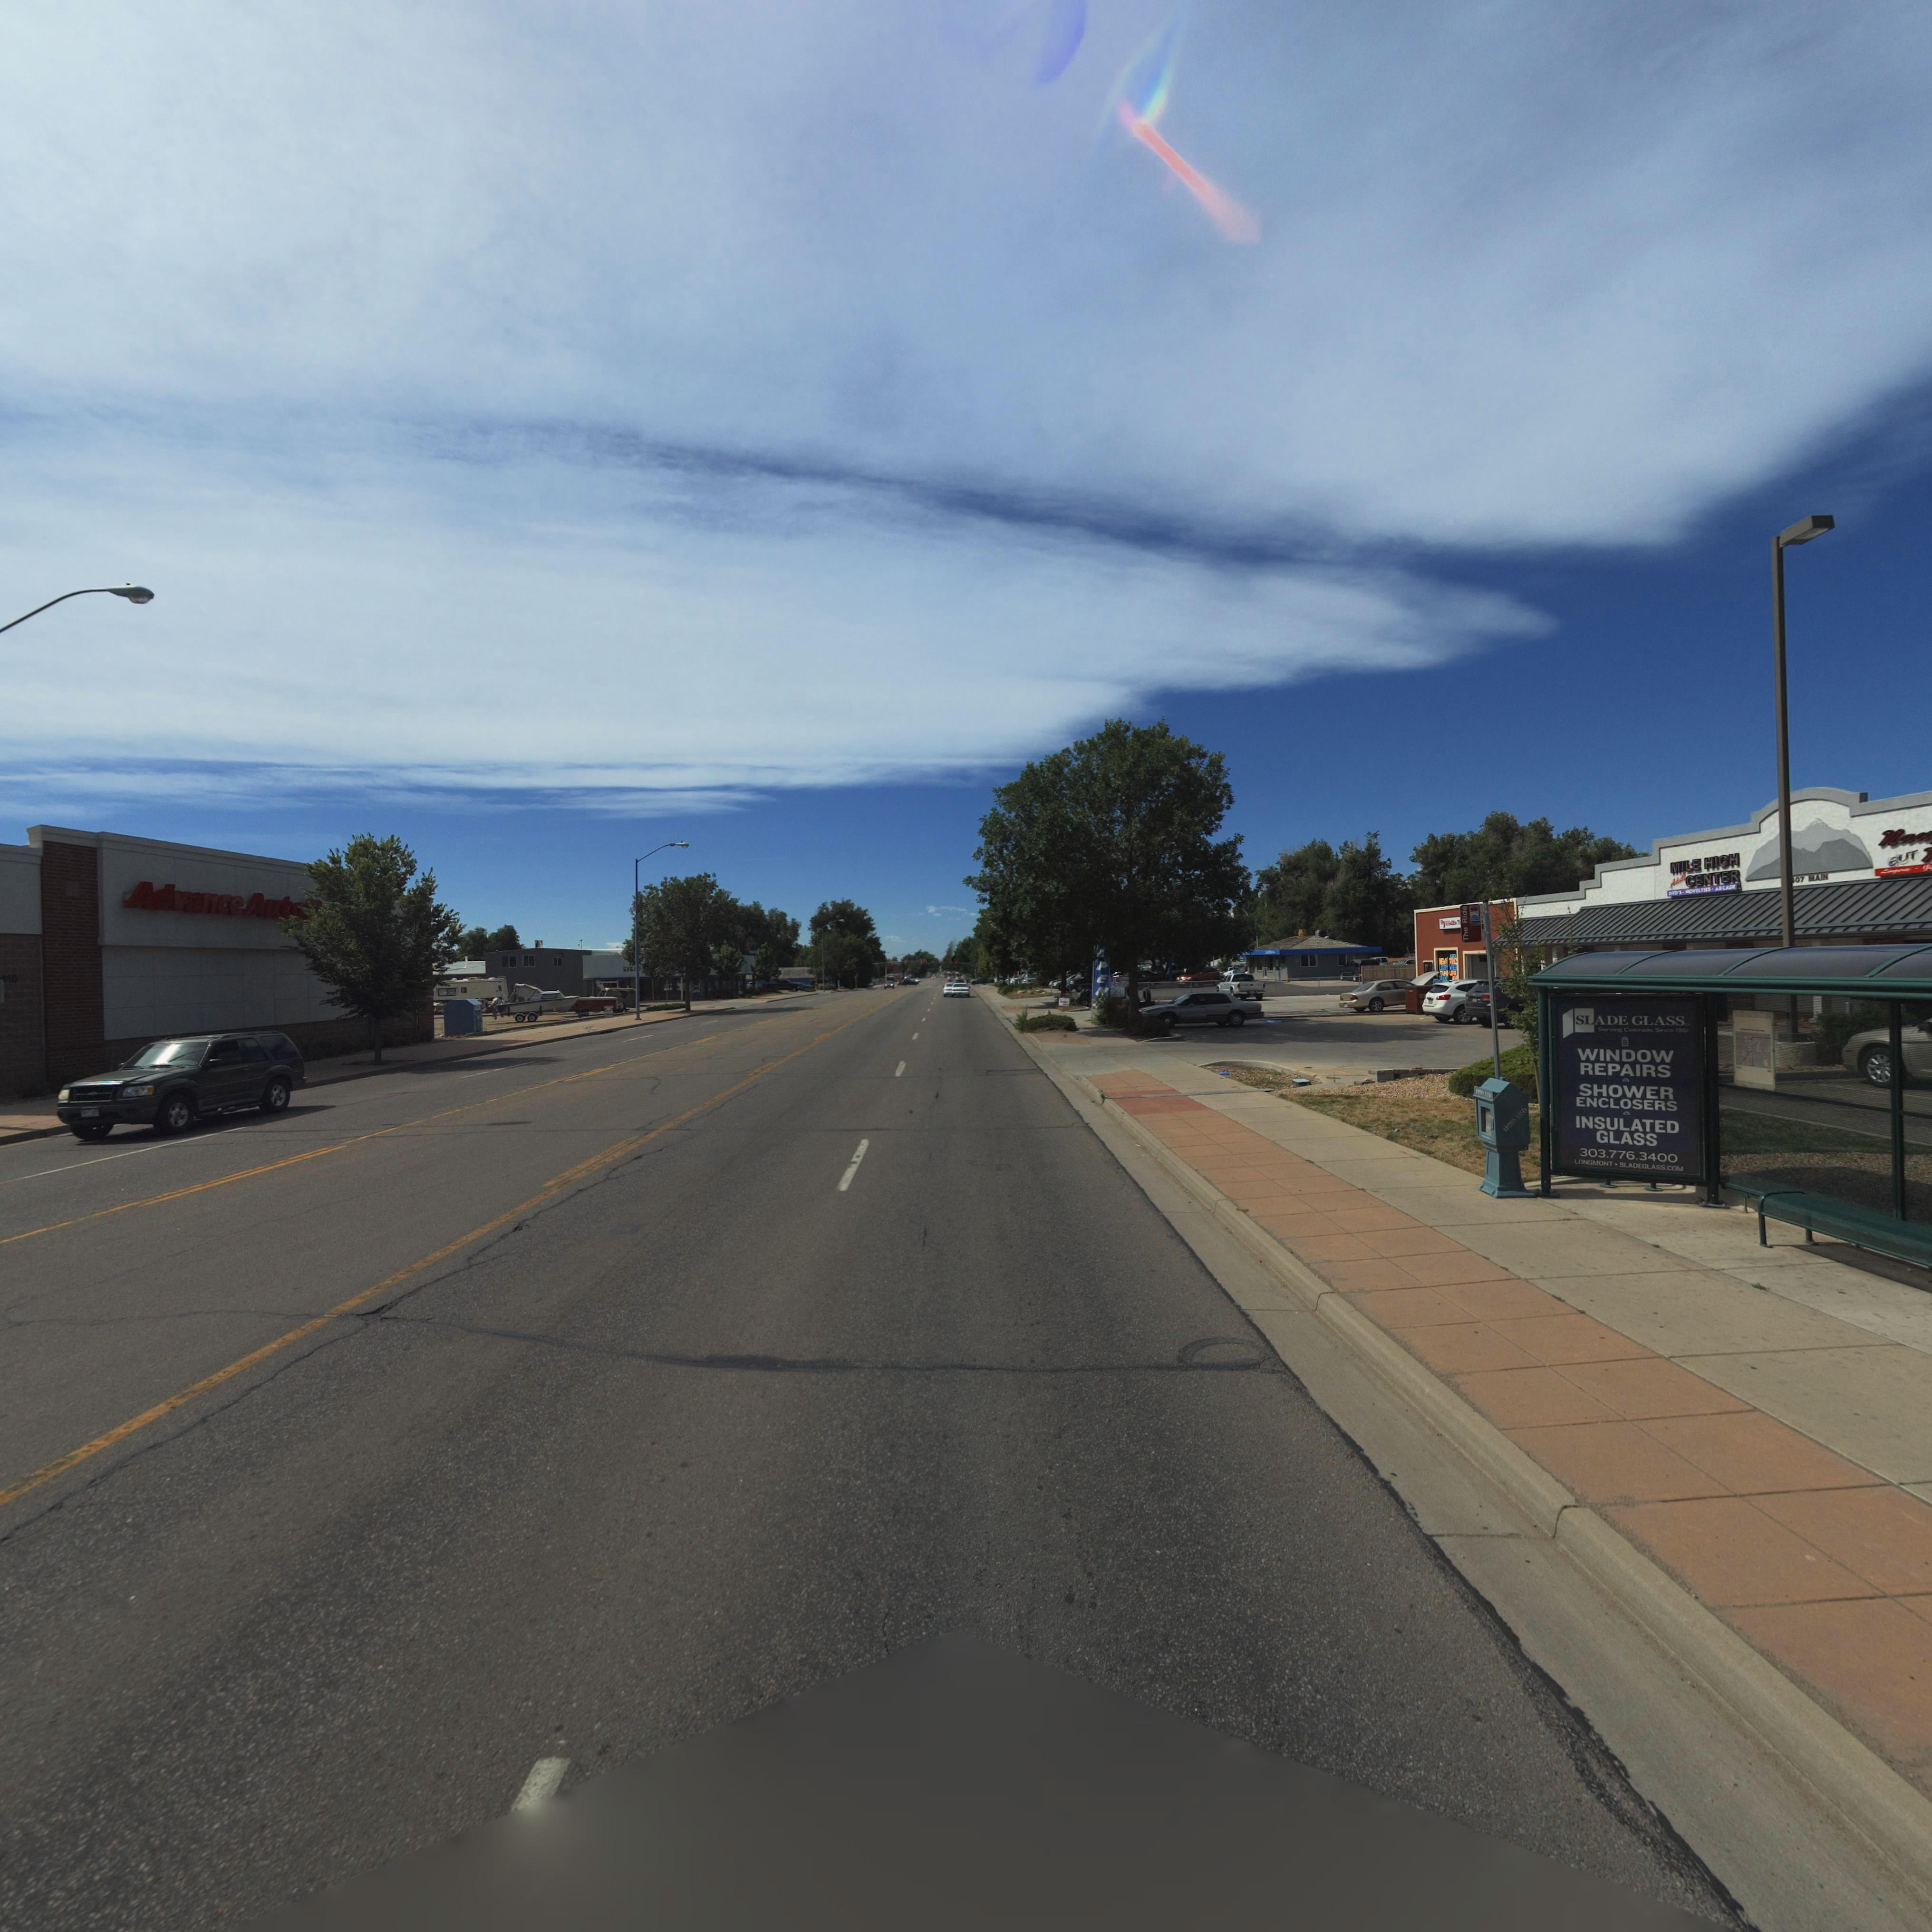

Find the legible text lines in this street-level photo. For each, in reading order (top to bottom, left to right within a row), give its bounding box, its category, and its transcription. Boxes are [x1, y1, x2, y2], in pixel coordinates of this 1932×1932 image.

[1876, 827, 1918, 847] BusinessName: Na
[1670, 852, 1740, 873] BusinessName: MILE HIGH
[1684, 869, 1741, 888] BusinessName: CENTER
[1795, 875, 1805, 883] StreetNumber: 07
[1808, 872, 1828, 882] StreetName: MAIN
[122, 879, 306, 921] BusinessName: Advance Auto
[1445, 919, 1459, 926] BusinessName: U.S **** T
[622, 966, 633, 972] BusinessName: EVE
[0, 972, 18, 984] StreetNumber: 410